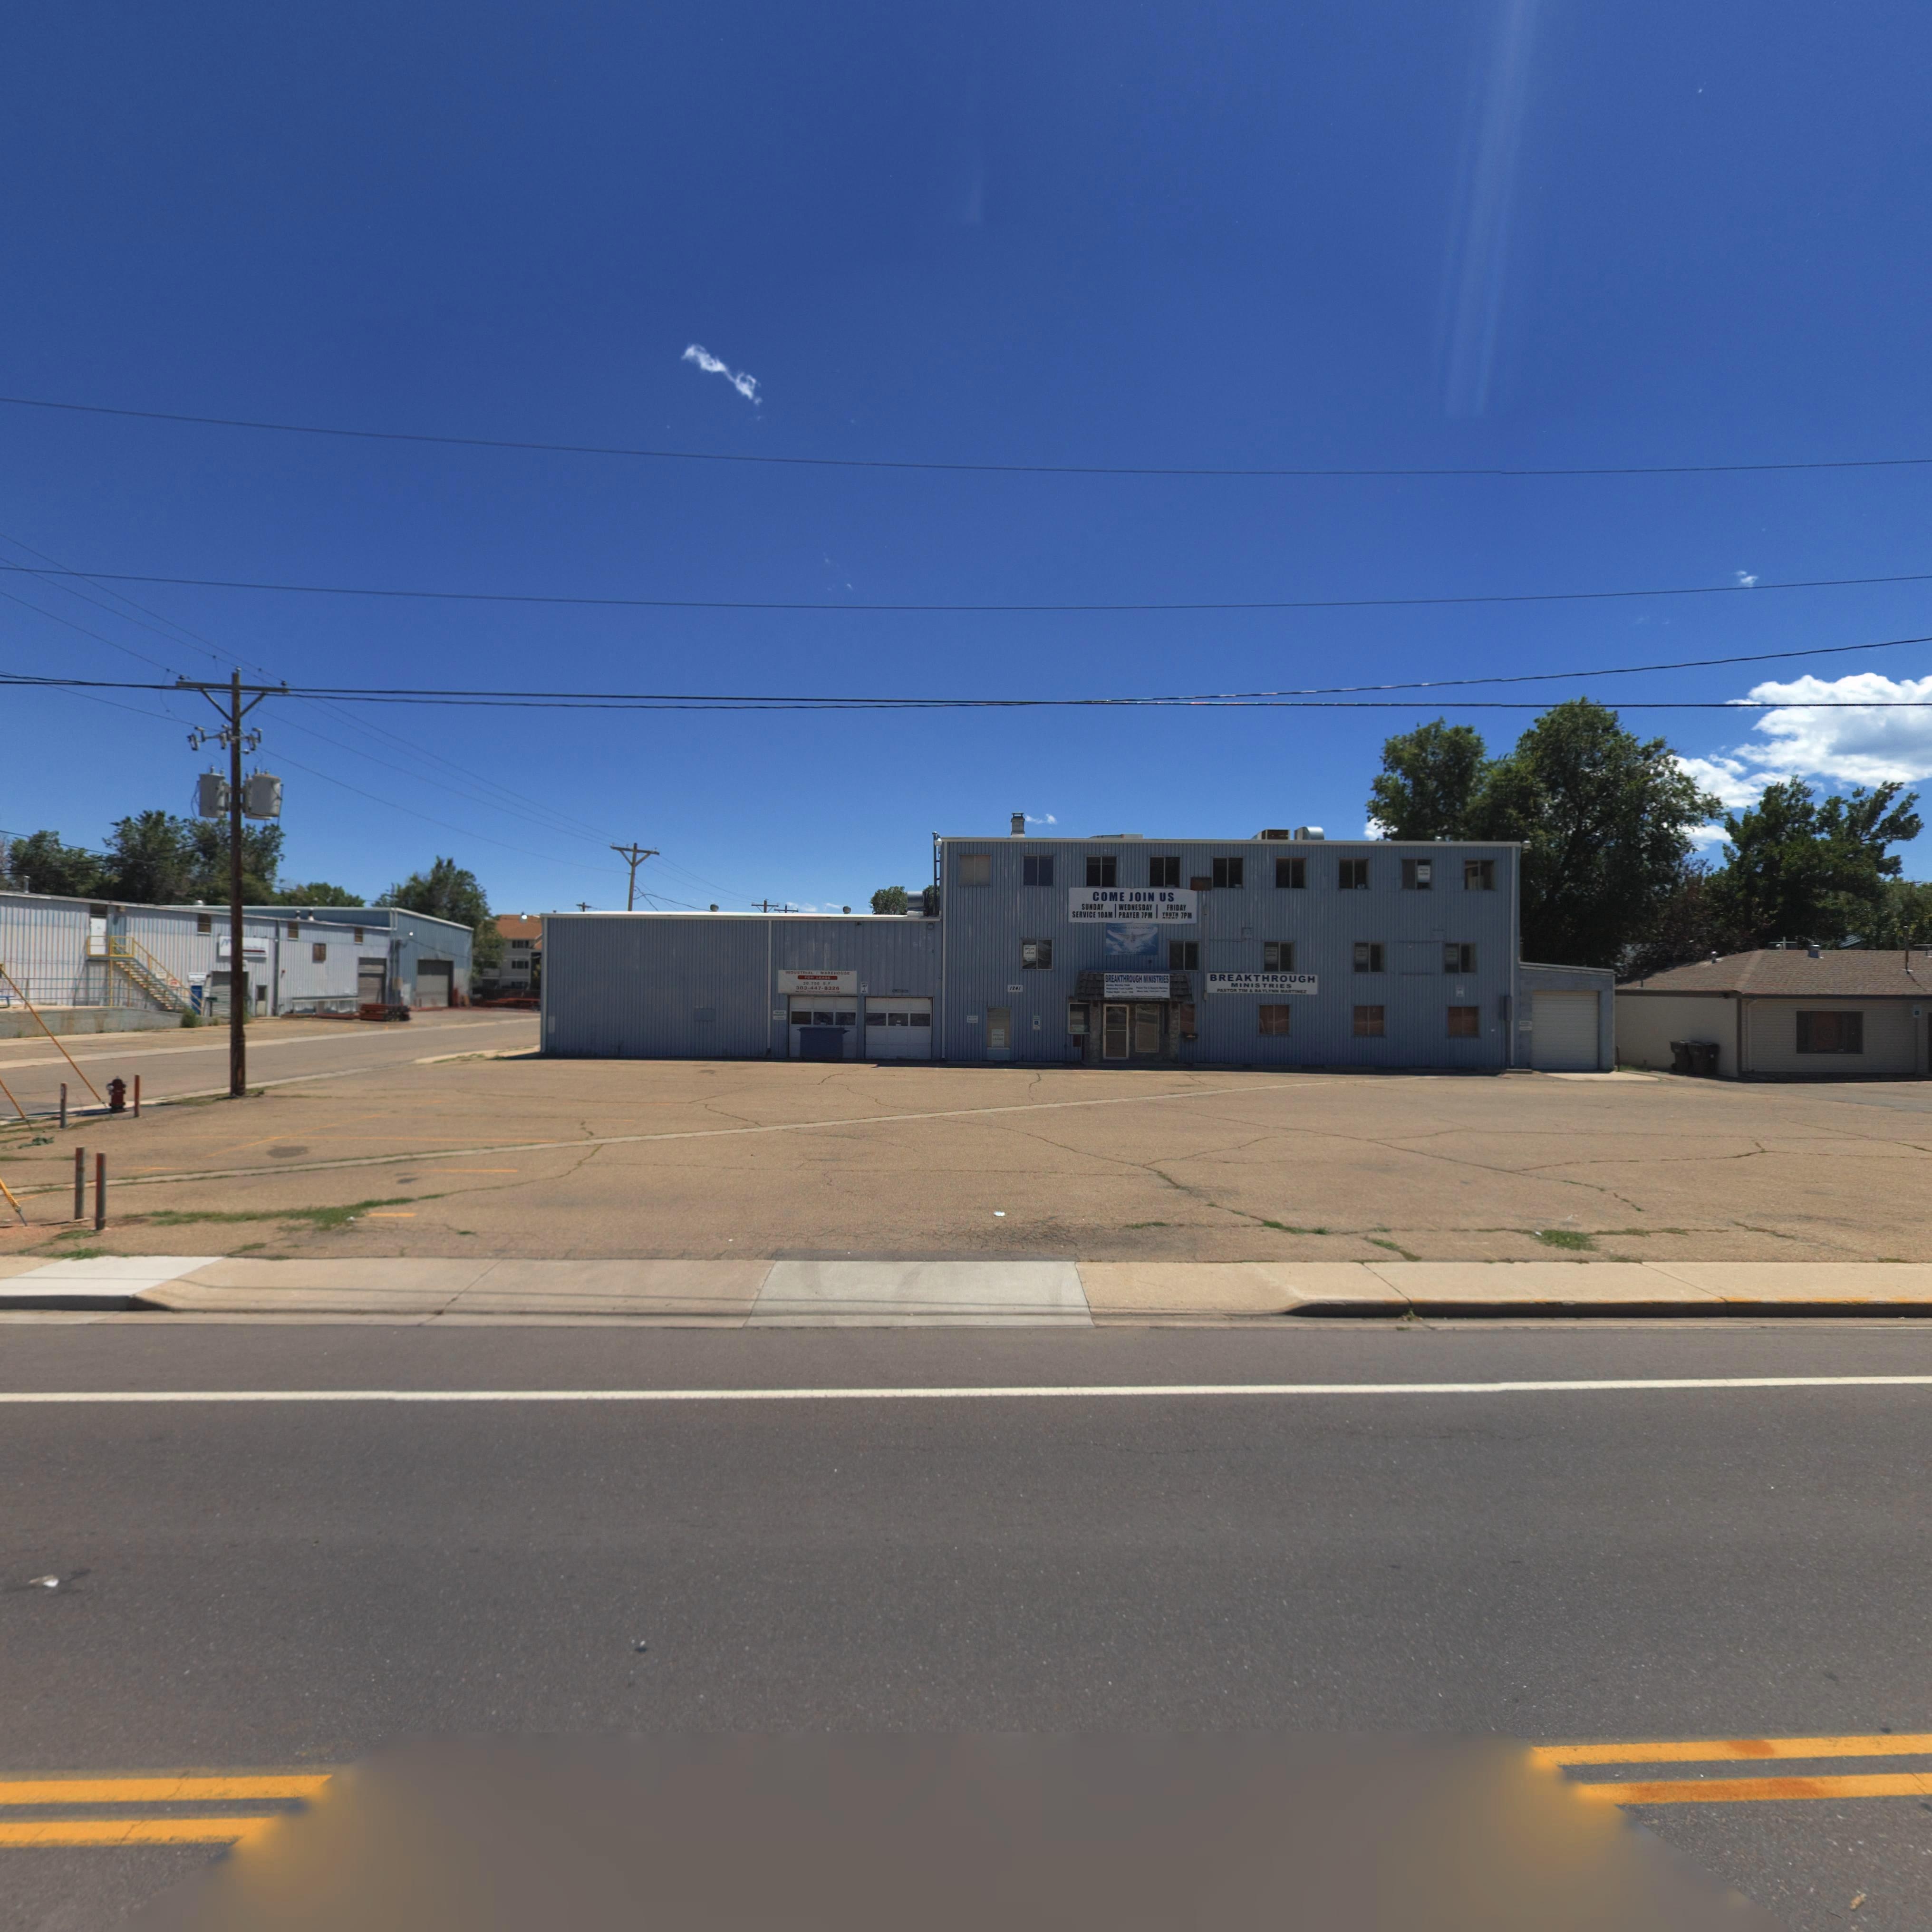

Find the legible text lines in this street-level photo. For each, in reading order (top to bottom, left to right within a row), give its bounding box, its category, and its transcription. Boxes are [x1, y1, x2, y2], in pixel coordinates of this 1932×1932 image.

[220, 938, 232, 947] BusinessName: M
[1105, 974, 1169, 983] BusinessName: BREAKTHROUGH MINISTRIES
[1209, 974, 1315, 983] BusinessName: BREAKTHROUGH
[1009, 985, 1021, 990] StreetNumber: 124*
[1231, 982, 1292, 988] BusinessName: MINISTRIES